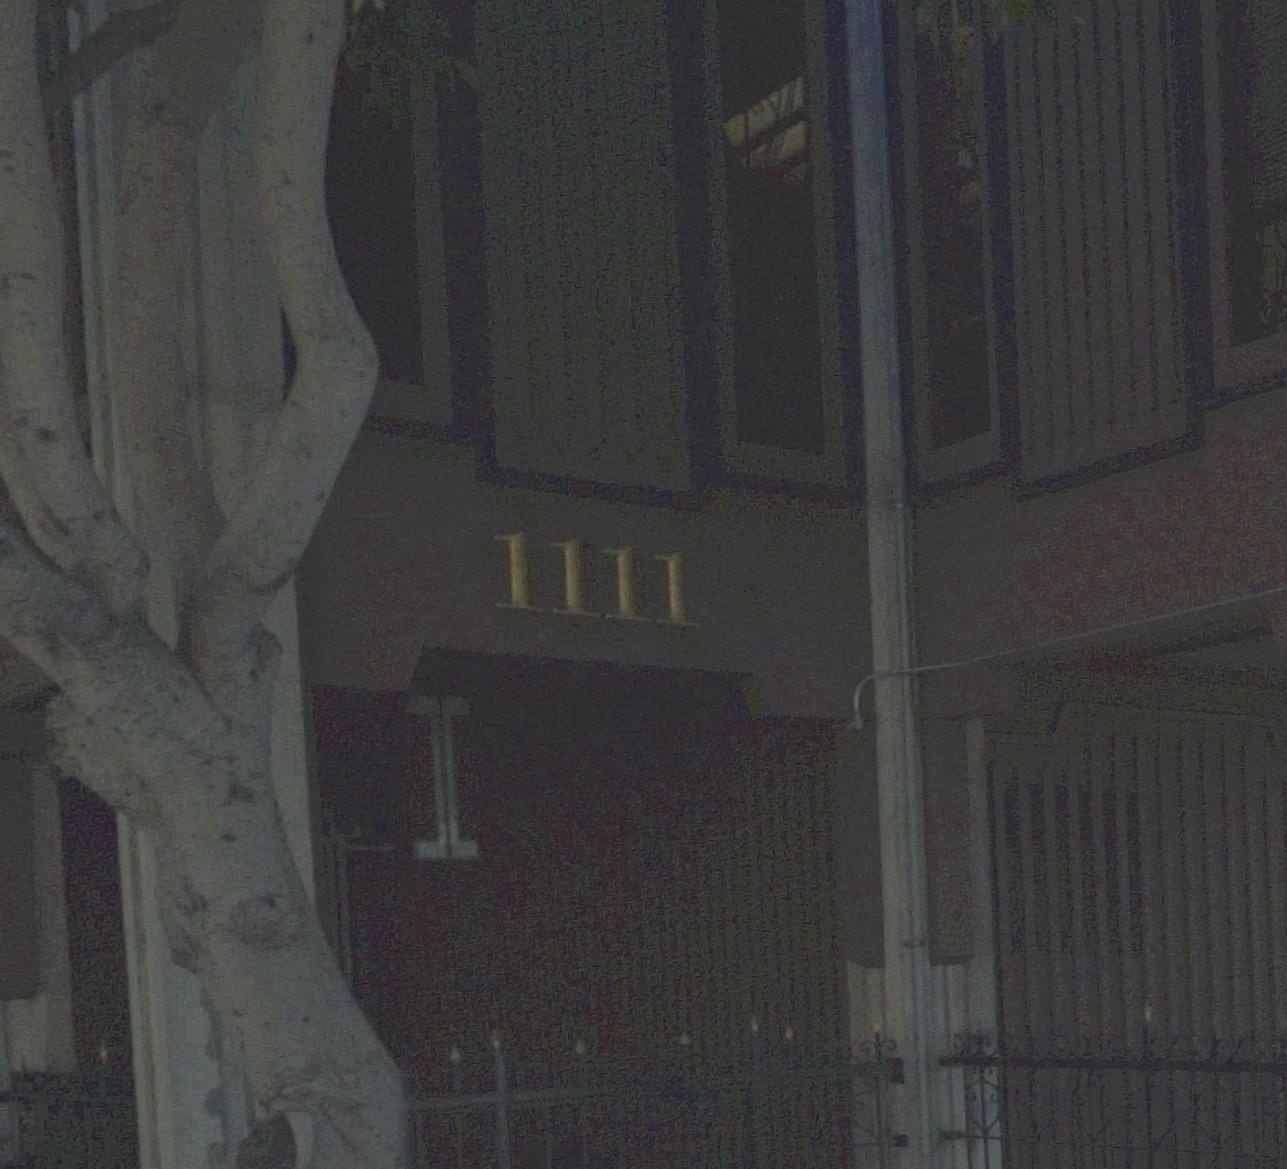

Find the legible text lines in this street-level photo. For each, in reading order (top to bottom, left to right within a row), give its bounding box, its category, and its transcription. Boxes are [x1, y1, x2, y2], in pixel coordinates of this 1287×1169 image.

[489, 524, 703, 629] StreetNumber: 1111